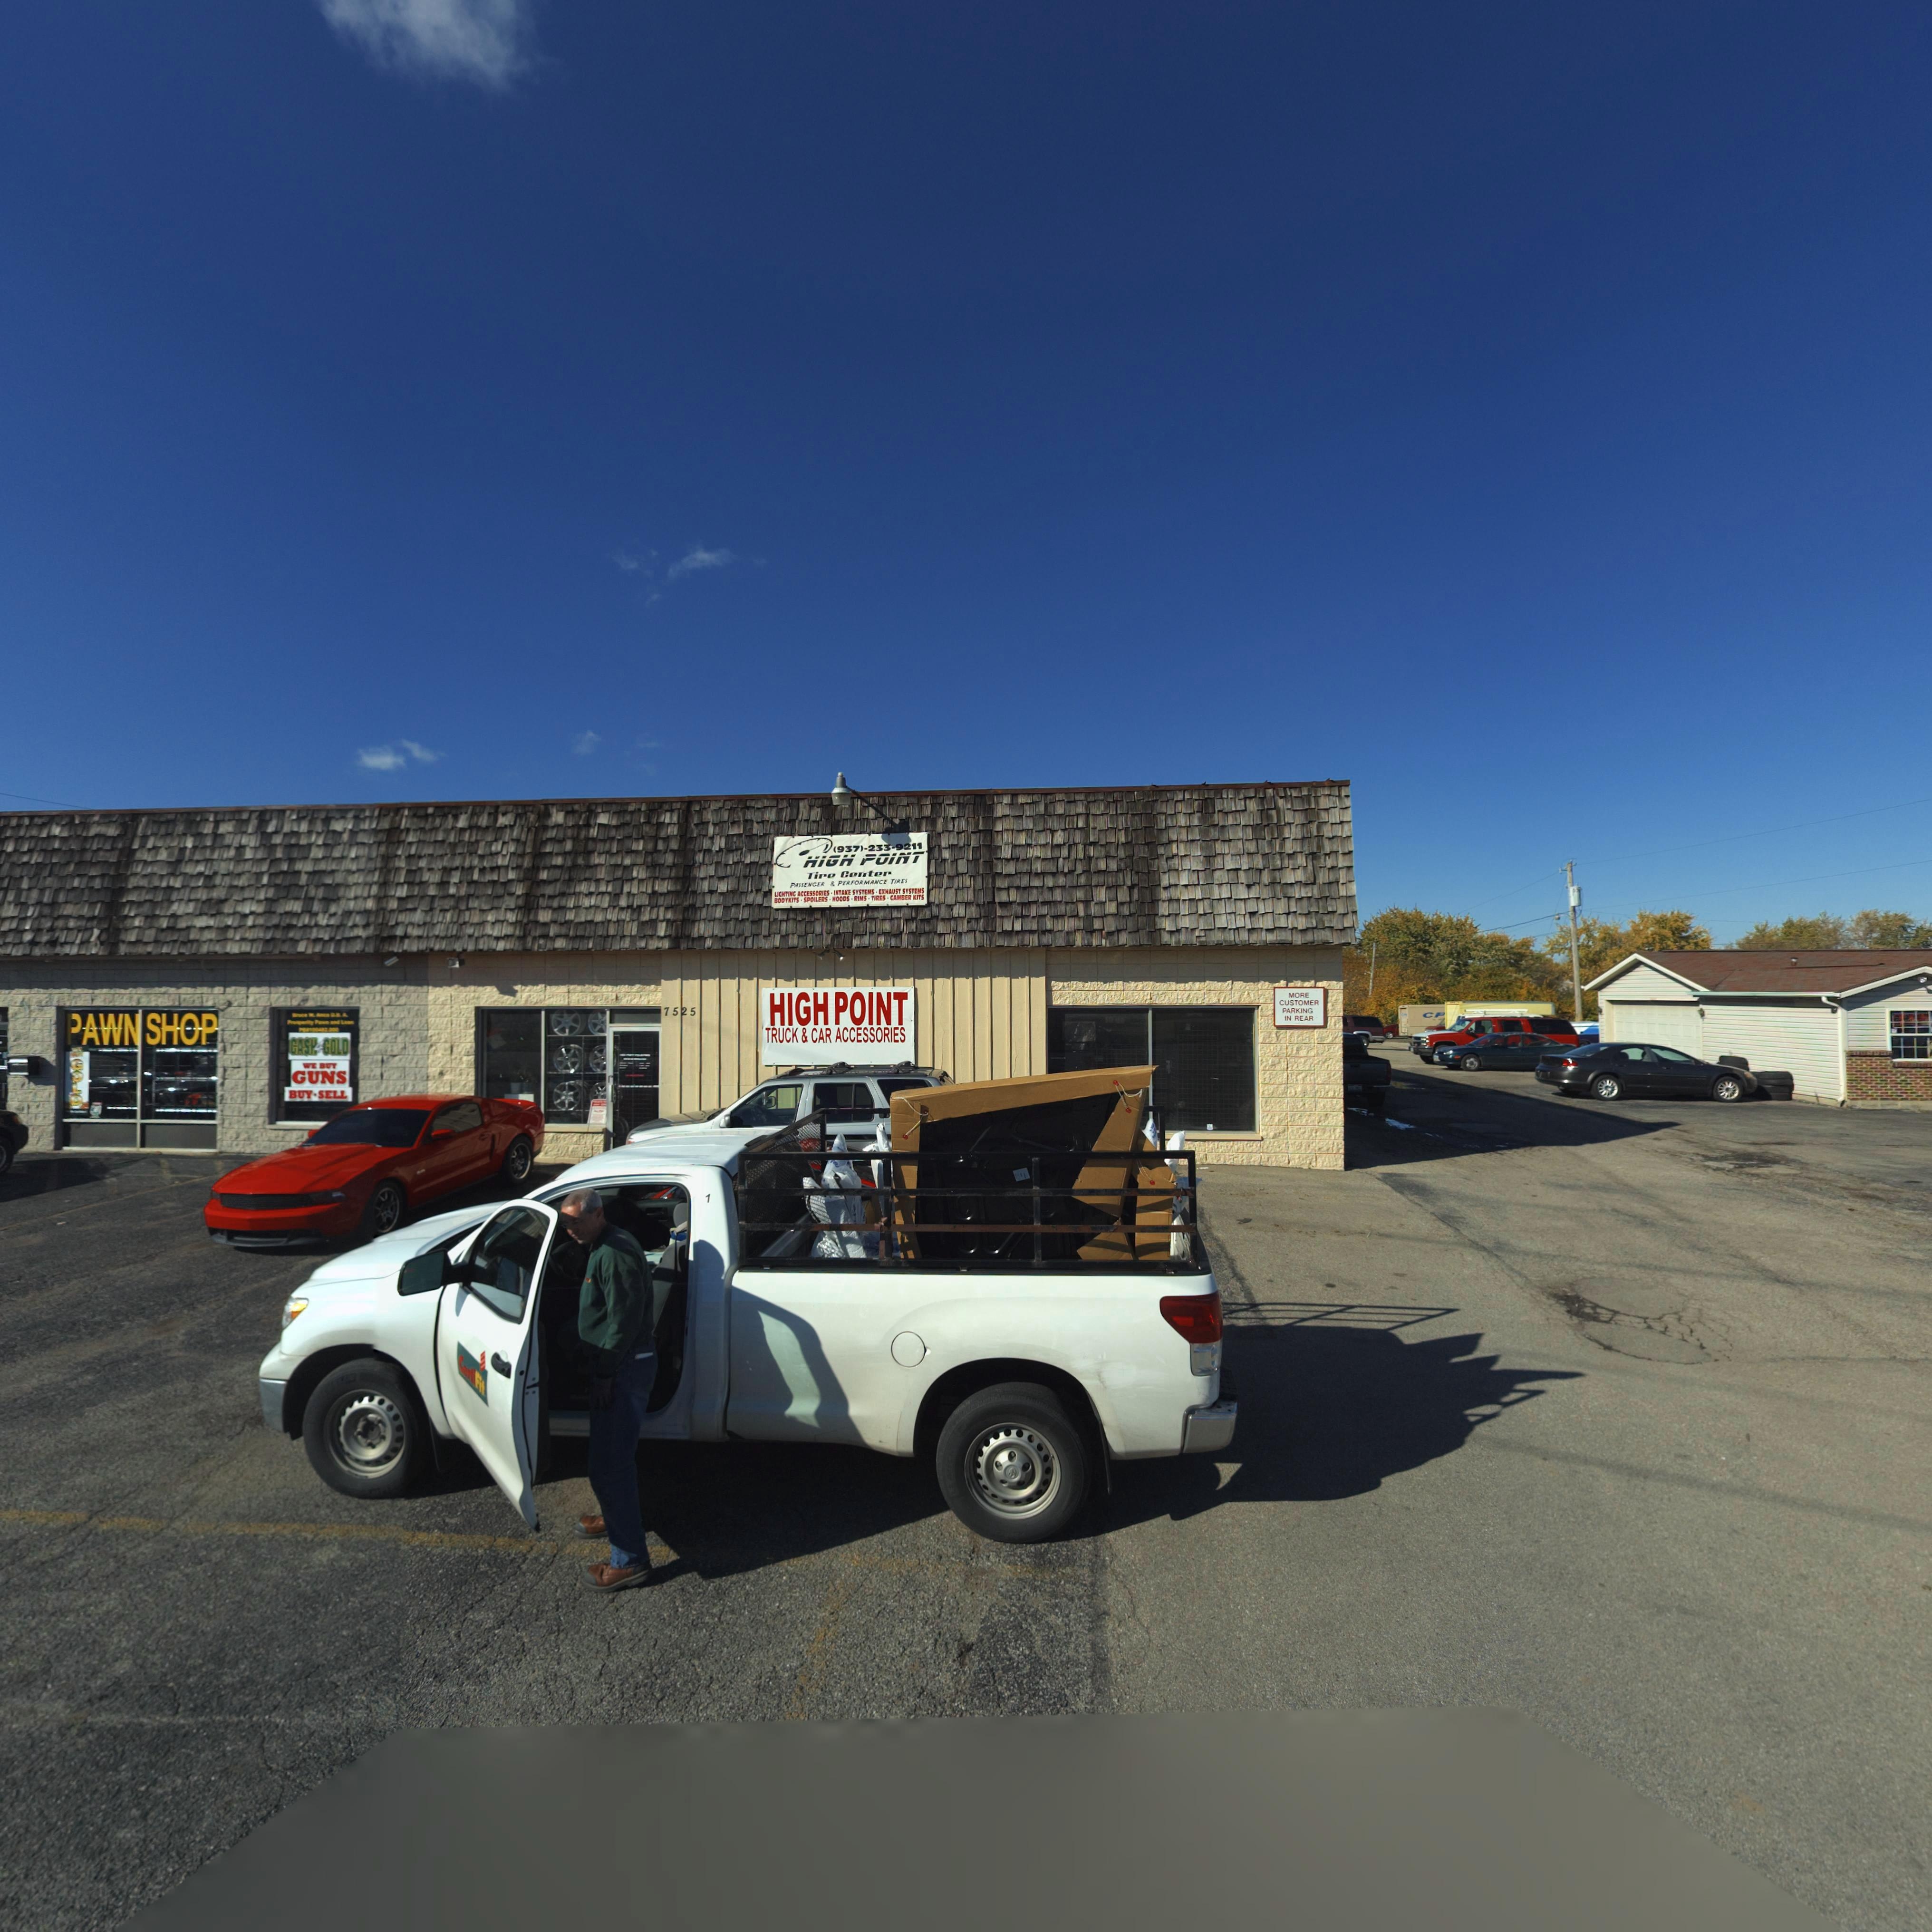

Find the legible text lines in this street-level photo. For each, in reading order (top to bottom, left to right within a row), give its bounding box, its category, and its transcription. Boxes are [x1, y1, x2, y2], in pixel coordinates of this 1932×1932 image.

[801, 850, 926, 869] BusinessName: HIGH POINT
[663, 1006, 696, 1017] StreetNumber: 75*25
[769, 991, 909, 1027] BusinessName: HIGH POINT
[288, 1036, 350, 1057] BusinessName: CASH4GOLD